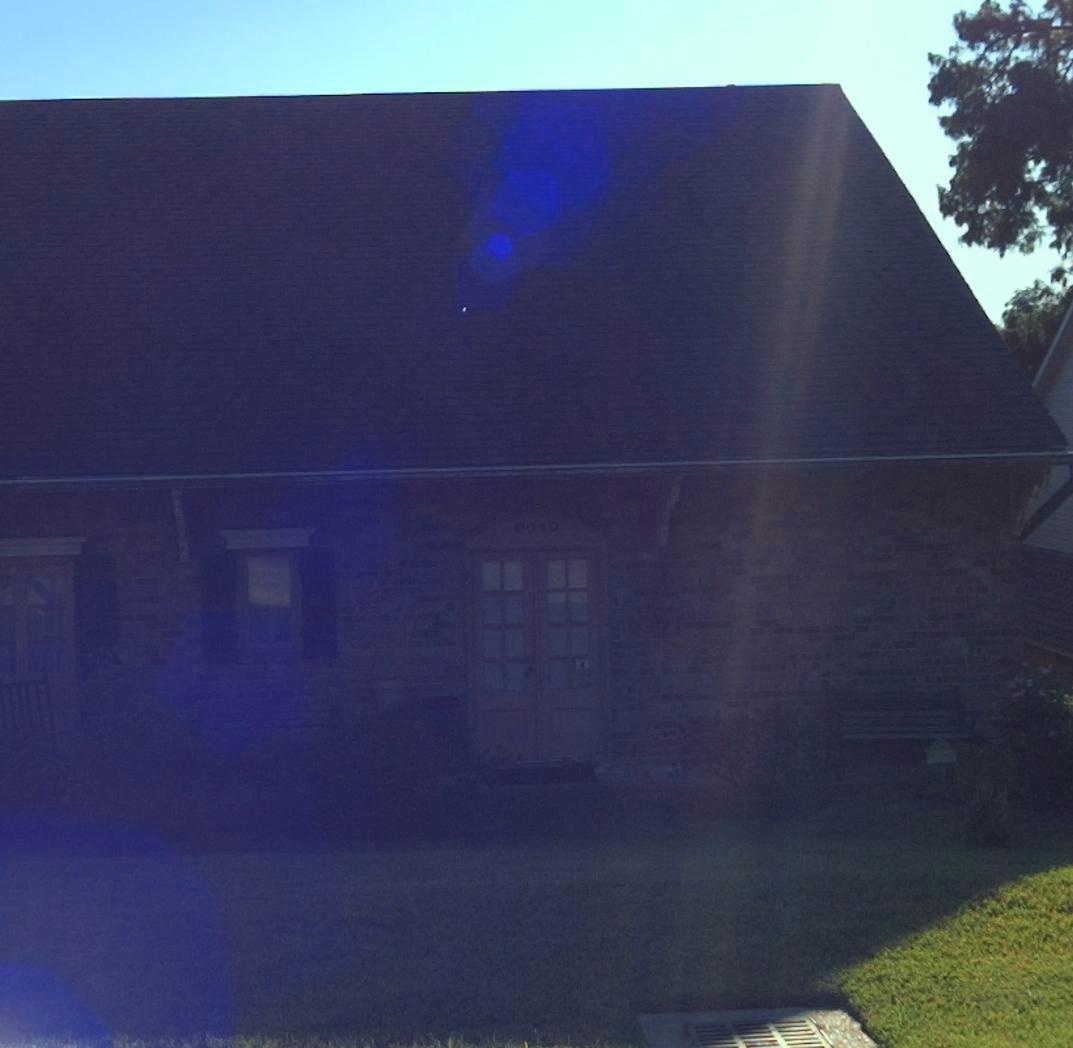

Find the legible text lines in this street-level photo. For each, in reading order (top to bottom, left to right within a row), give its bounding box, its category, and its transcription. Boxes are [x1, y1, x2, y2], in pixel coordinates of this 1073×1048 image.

[514, 519, 560, 535] StreetNumber: 9040